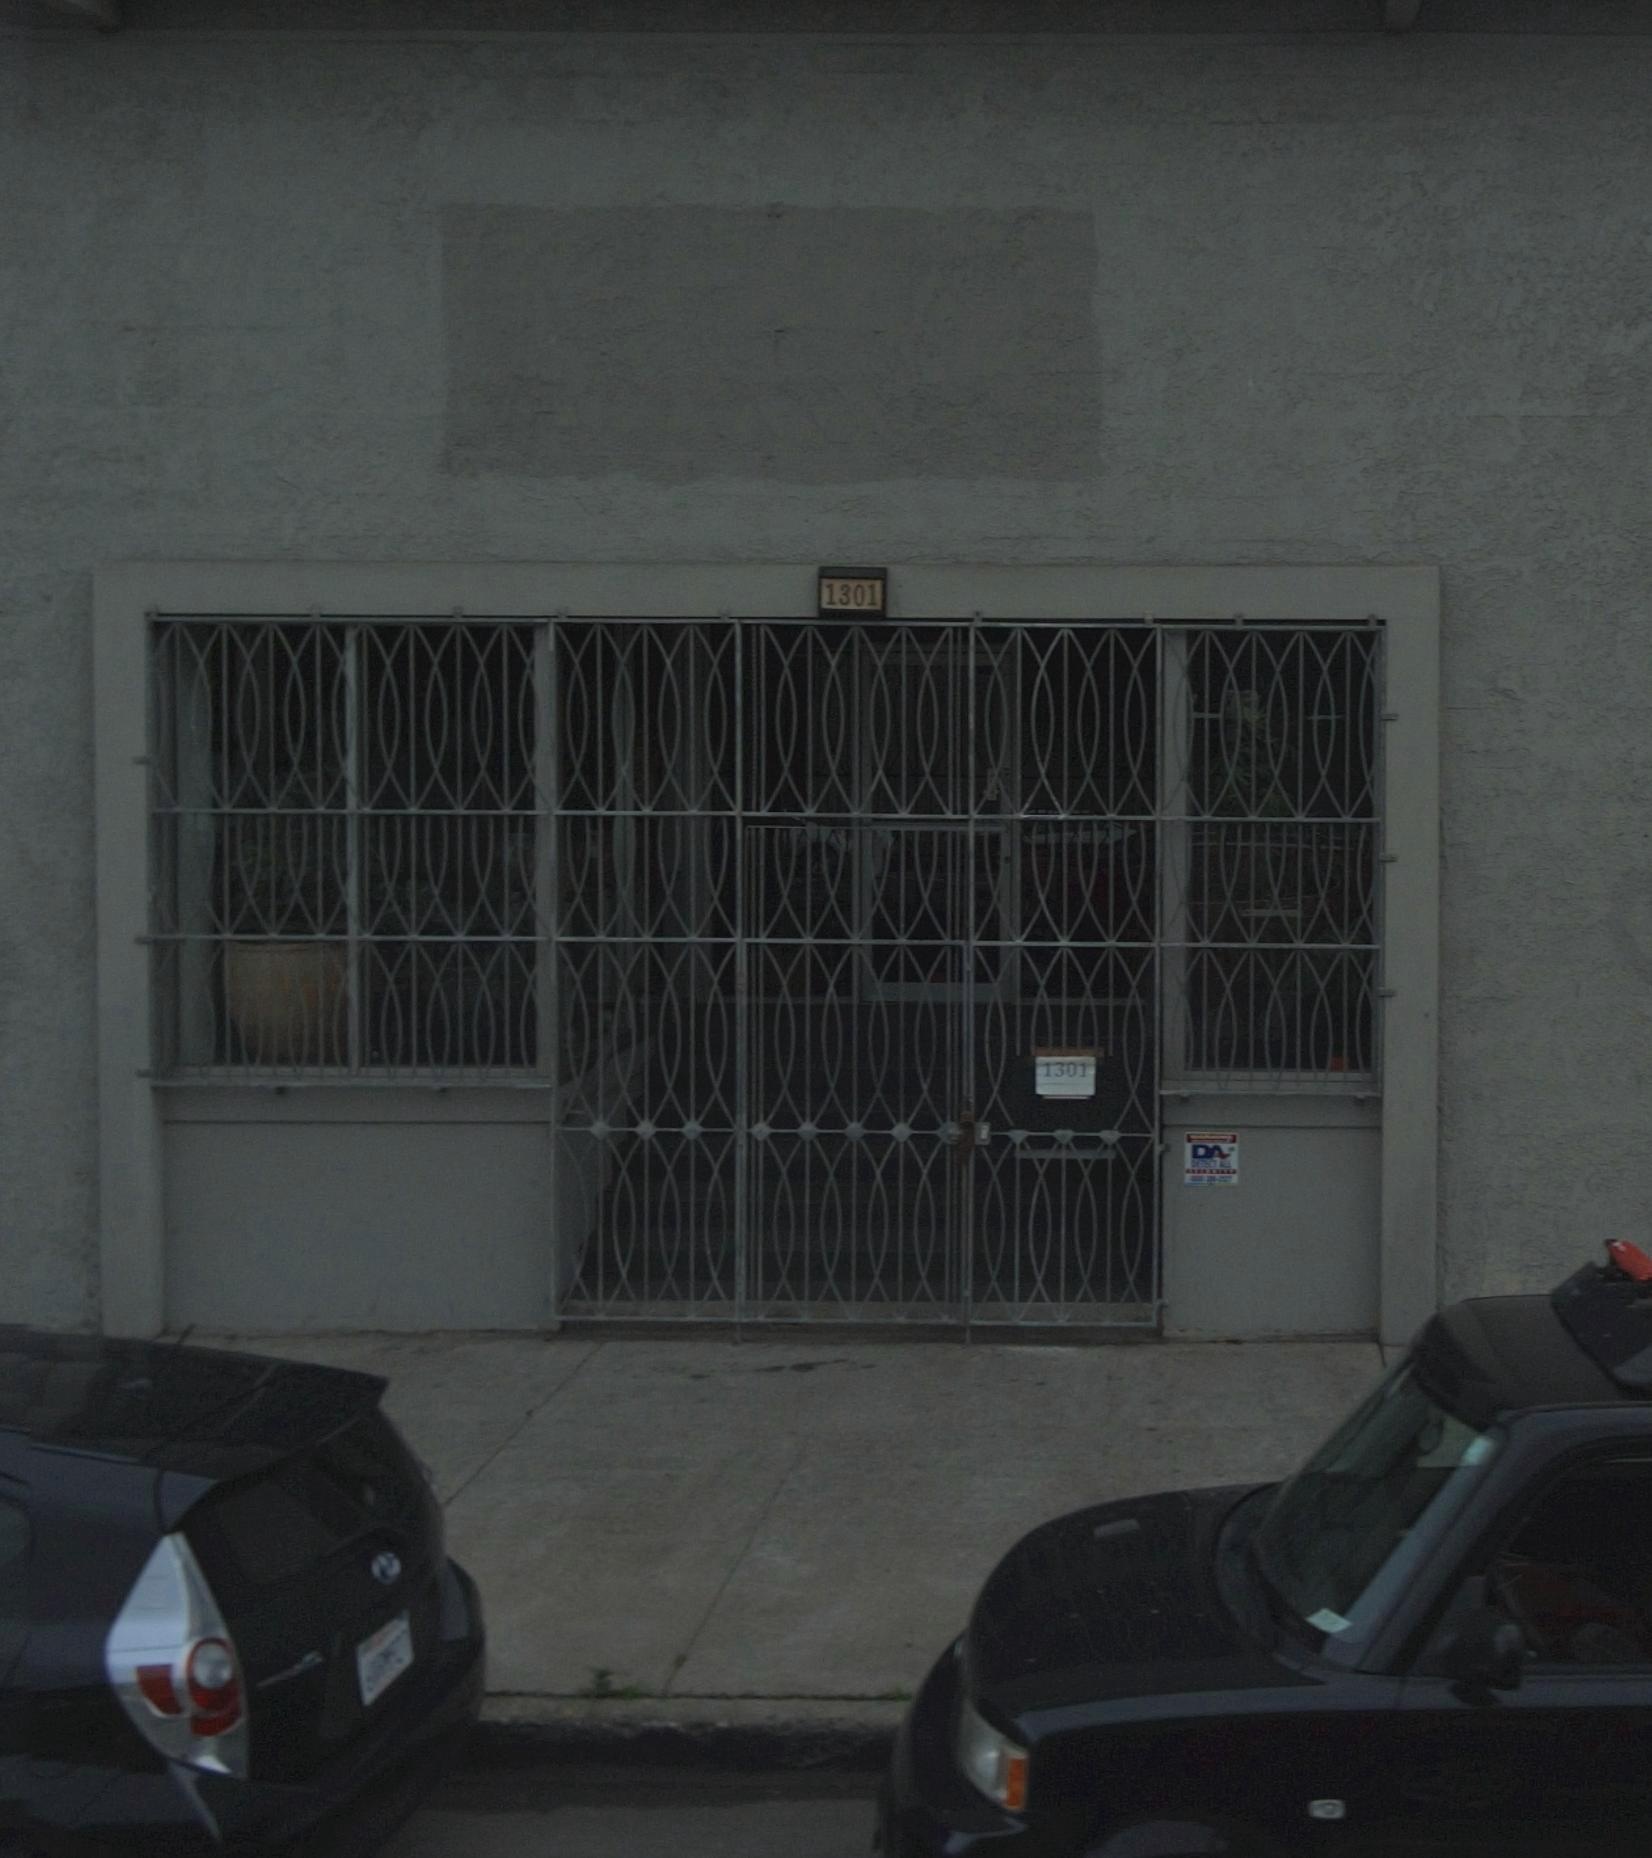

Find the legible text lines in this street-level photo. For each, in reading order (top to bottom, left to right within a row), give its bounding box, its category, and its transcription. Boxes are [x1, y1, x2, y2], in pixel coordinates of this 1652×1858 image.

[824, 581, 879, 606] StreetNumber: 1301
[1041, 1061, 1090, 1079] StreetNumber: 1301
[1192, 1143, 1228, 1159] None: DA